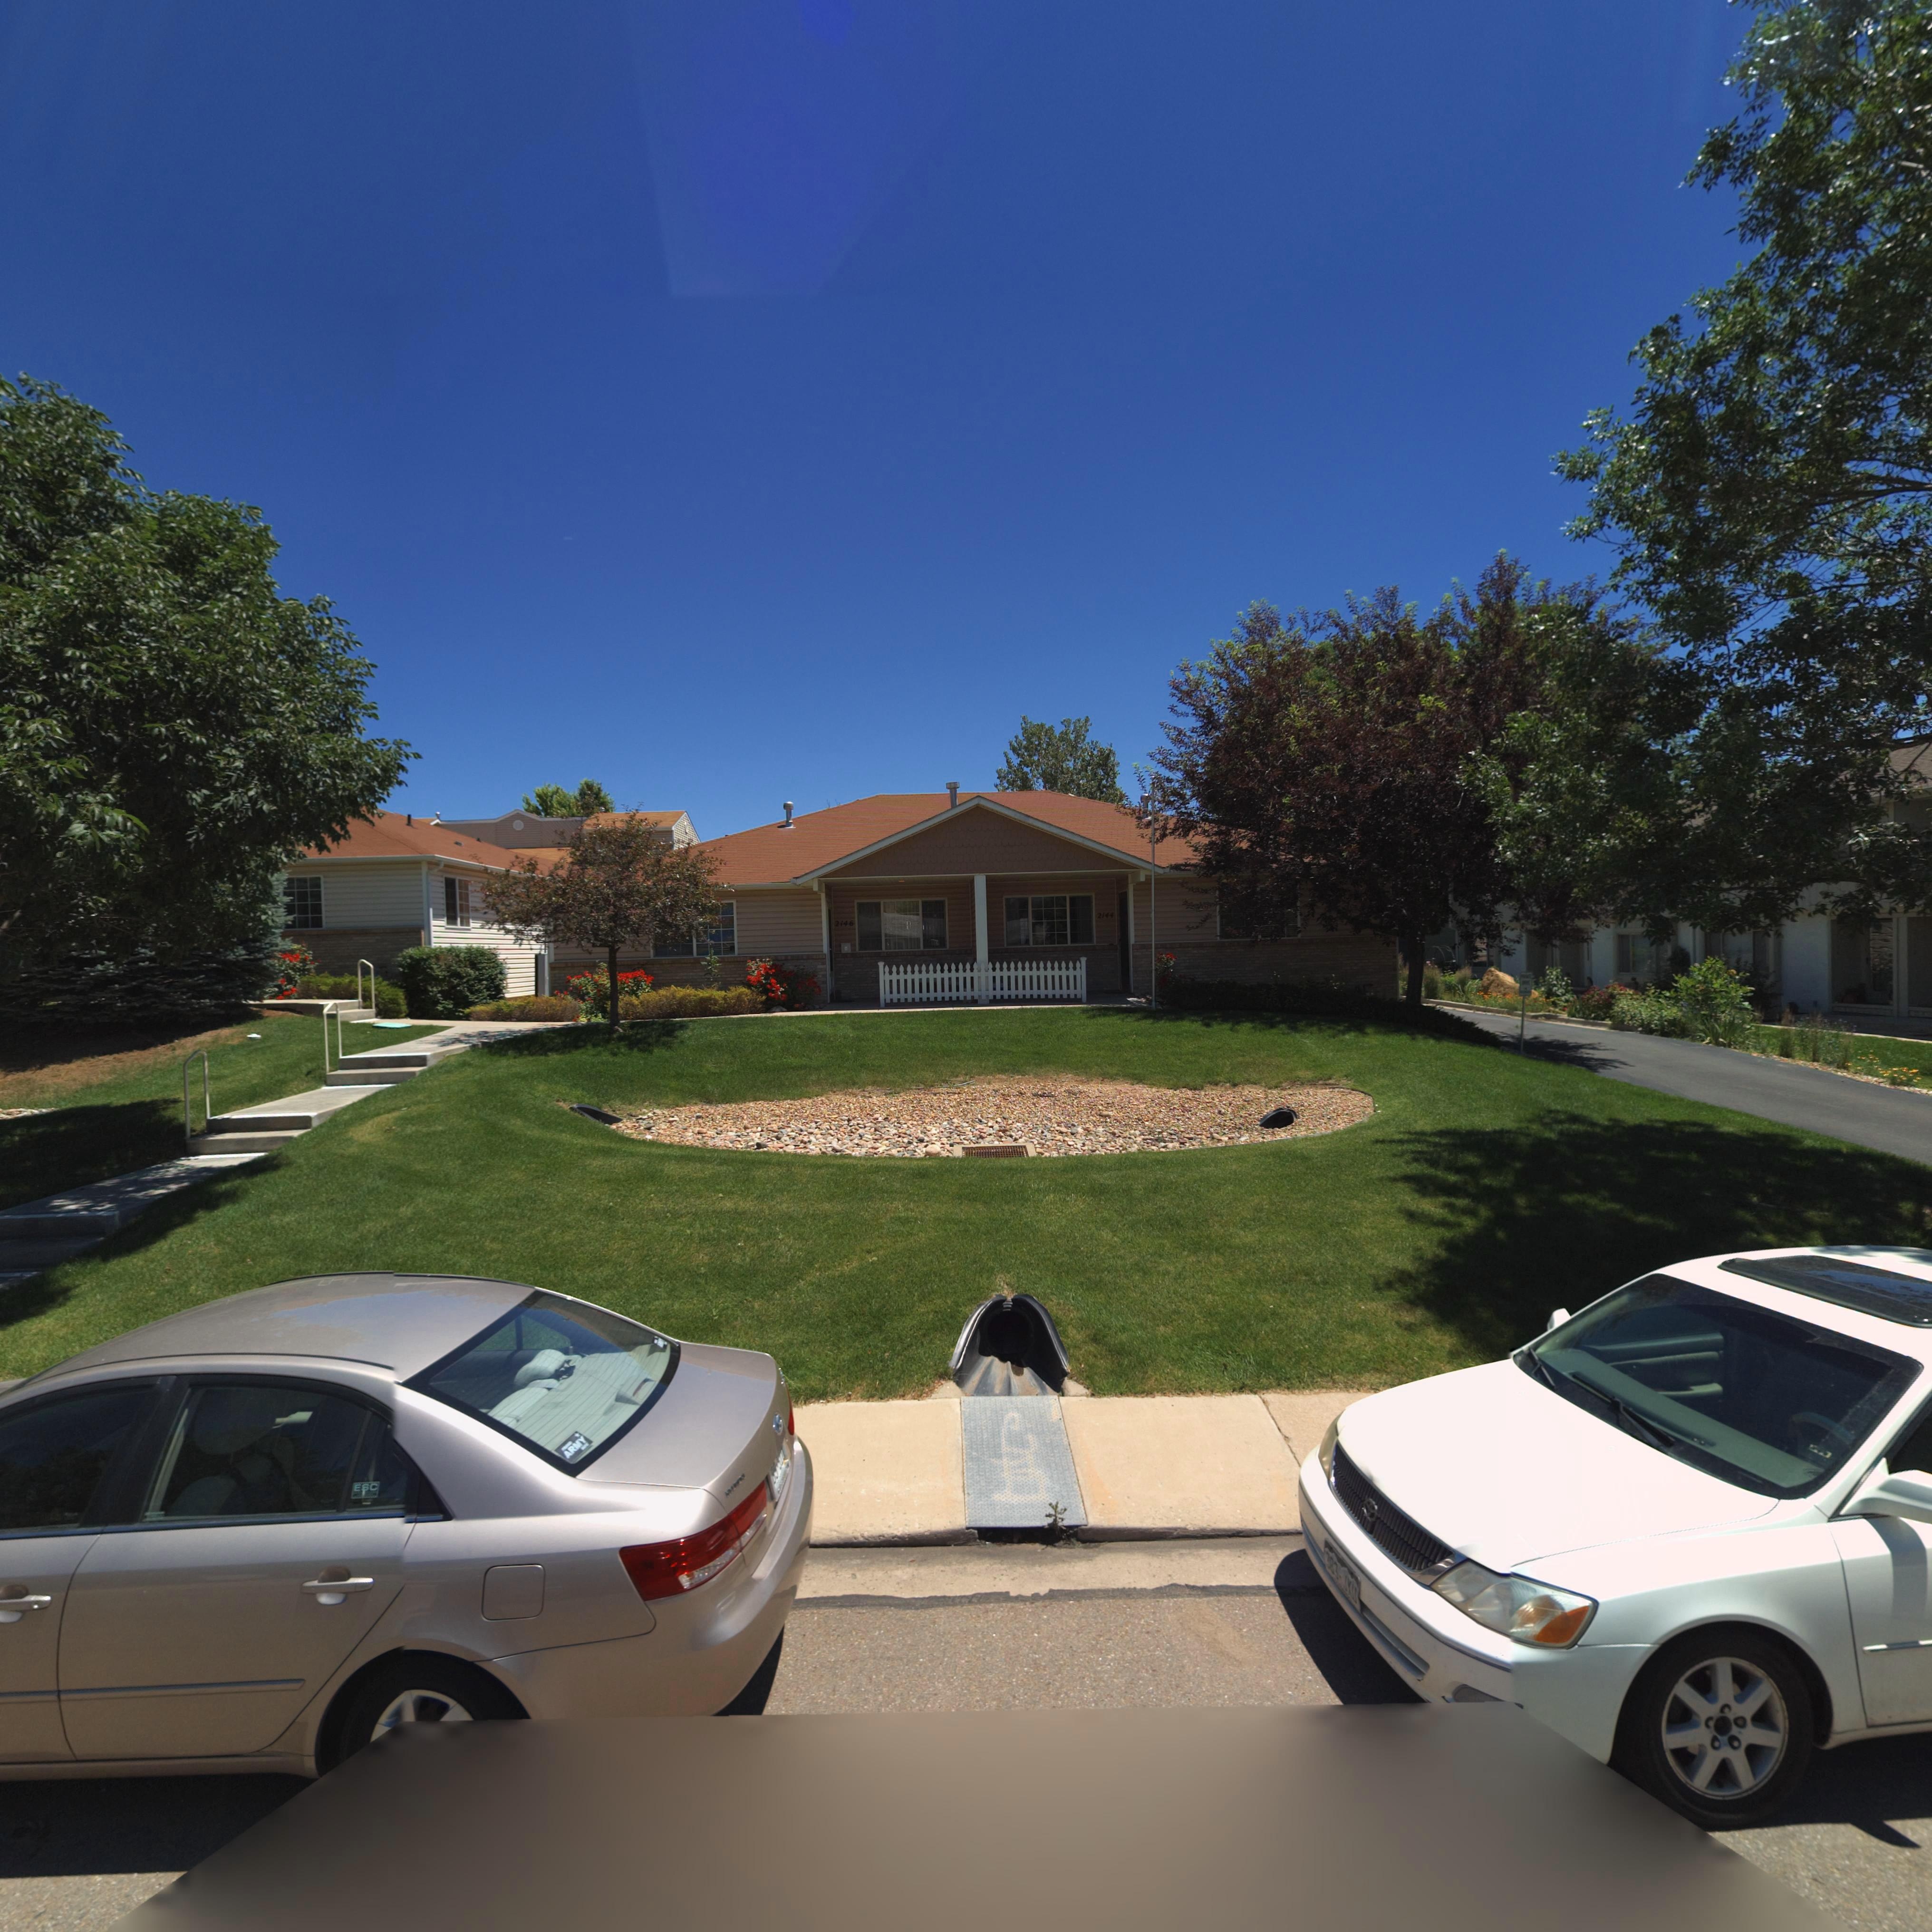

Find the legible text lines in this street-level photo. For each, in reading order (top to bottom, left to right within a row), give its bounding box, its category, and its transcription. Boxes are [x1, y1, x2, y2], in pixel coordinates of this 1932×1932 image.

[1096, 911, 1114, 919] StreetNumber: 2144
[834, 919, 854, 927] StreetNumber: 2146